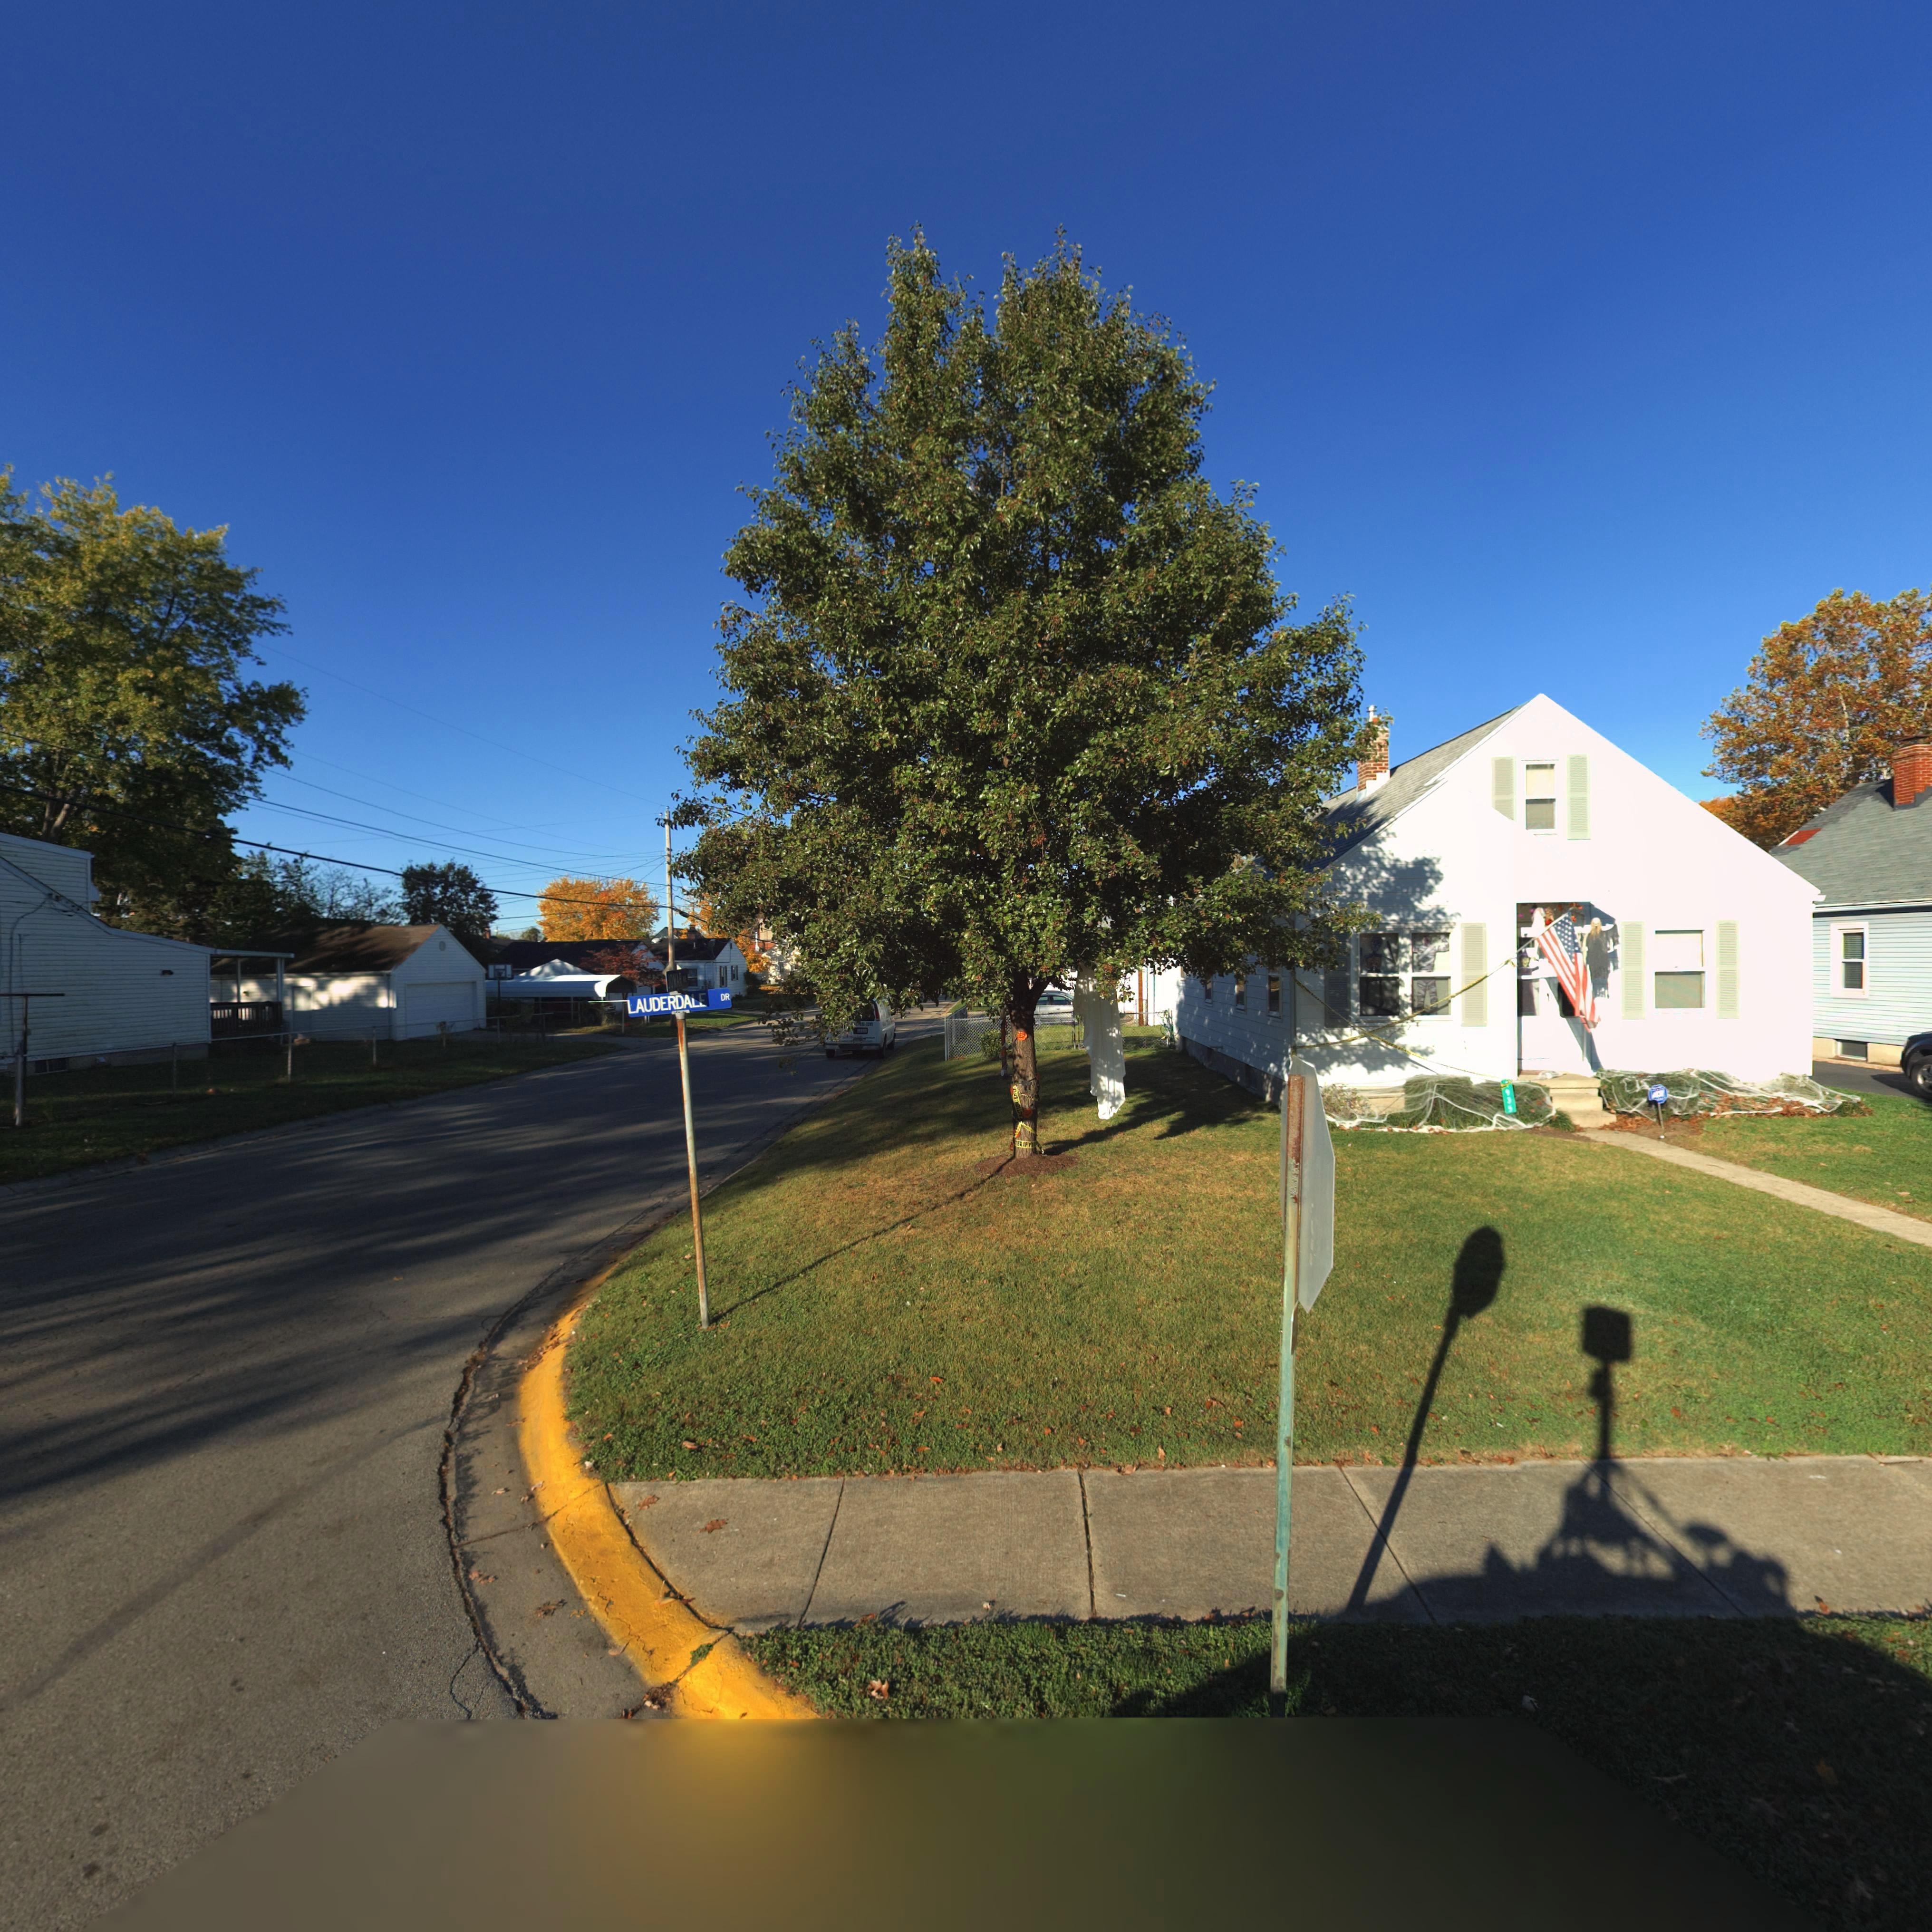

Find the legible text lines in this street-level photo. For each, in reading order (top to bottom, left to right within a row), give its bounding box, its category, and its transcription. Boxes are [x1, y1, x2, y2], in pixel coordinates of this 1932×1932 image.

[1504, 1088, 1515, 1113] StreetNumber: 935